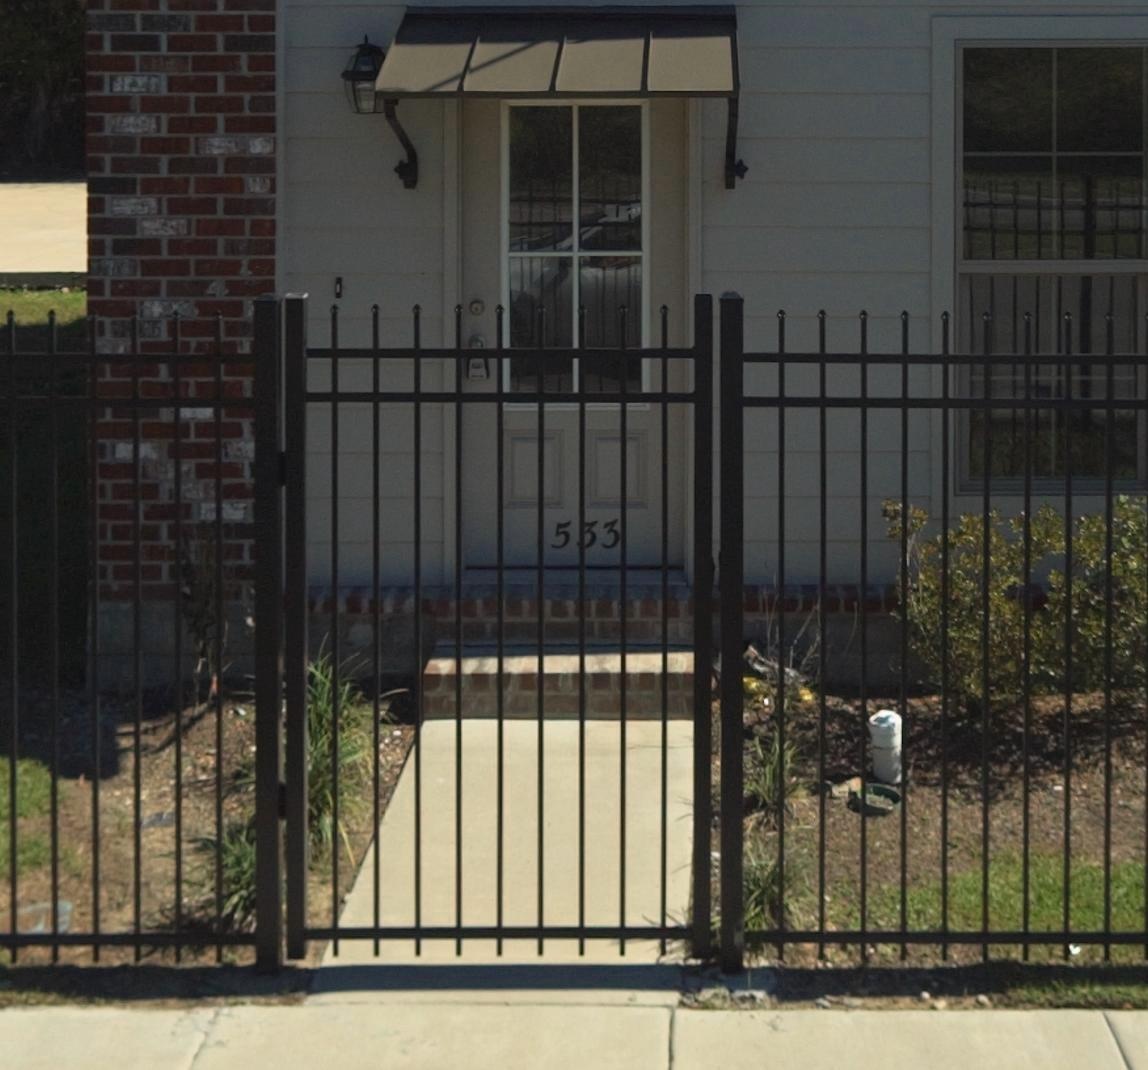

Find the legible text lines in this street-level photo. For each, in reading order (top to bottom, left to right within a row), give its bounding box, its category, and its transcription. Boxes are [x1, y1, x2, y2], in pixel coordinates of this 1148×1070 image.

[548, 519, 622, 551] StreetNumber: 5*3